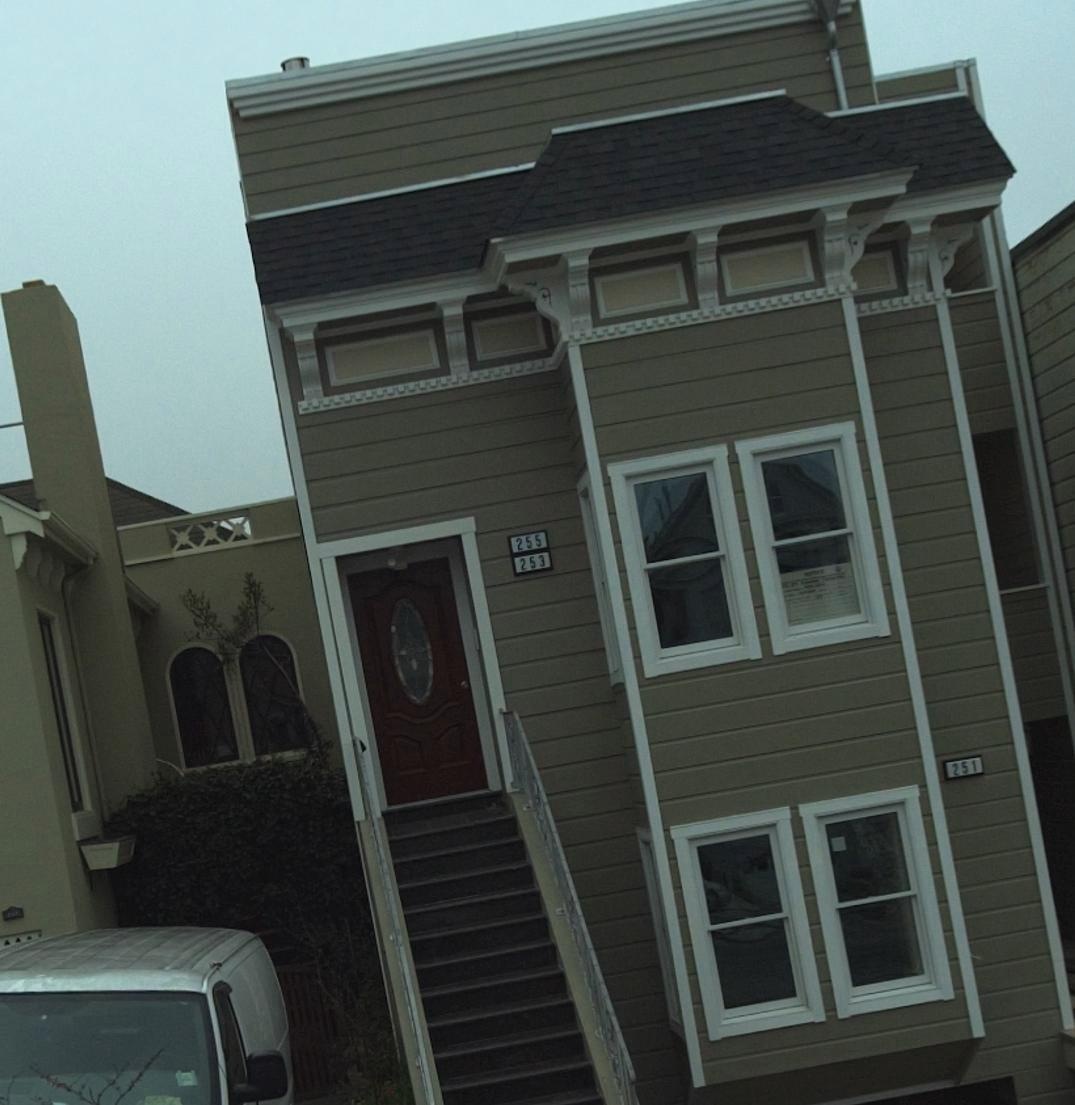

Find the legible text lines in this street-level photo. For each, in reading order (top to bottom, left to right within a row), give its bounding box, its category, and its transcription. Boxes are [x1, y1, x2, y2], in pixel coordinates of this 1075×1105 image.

[514, 532, 543, 552] StreetNumber: 255
[518, 553, 547, 572] StreetNumber: 253
[949, 757, 980, 777] StreetNumber: 251